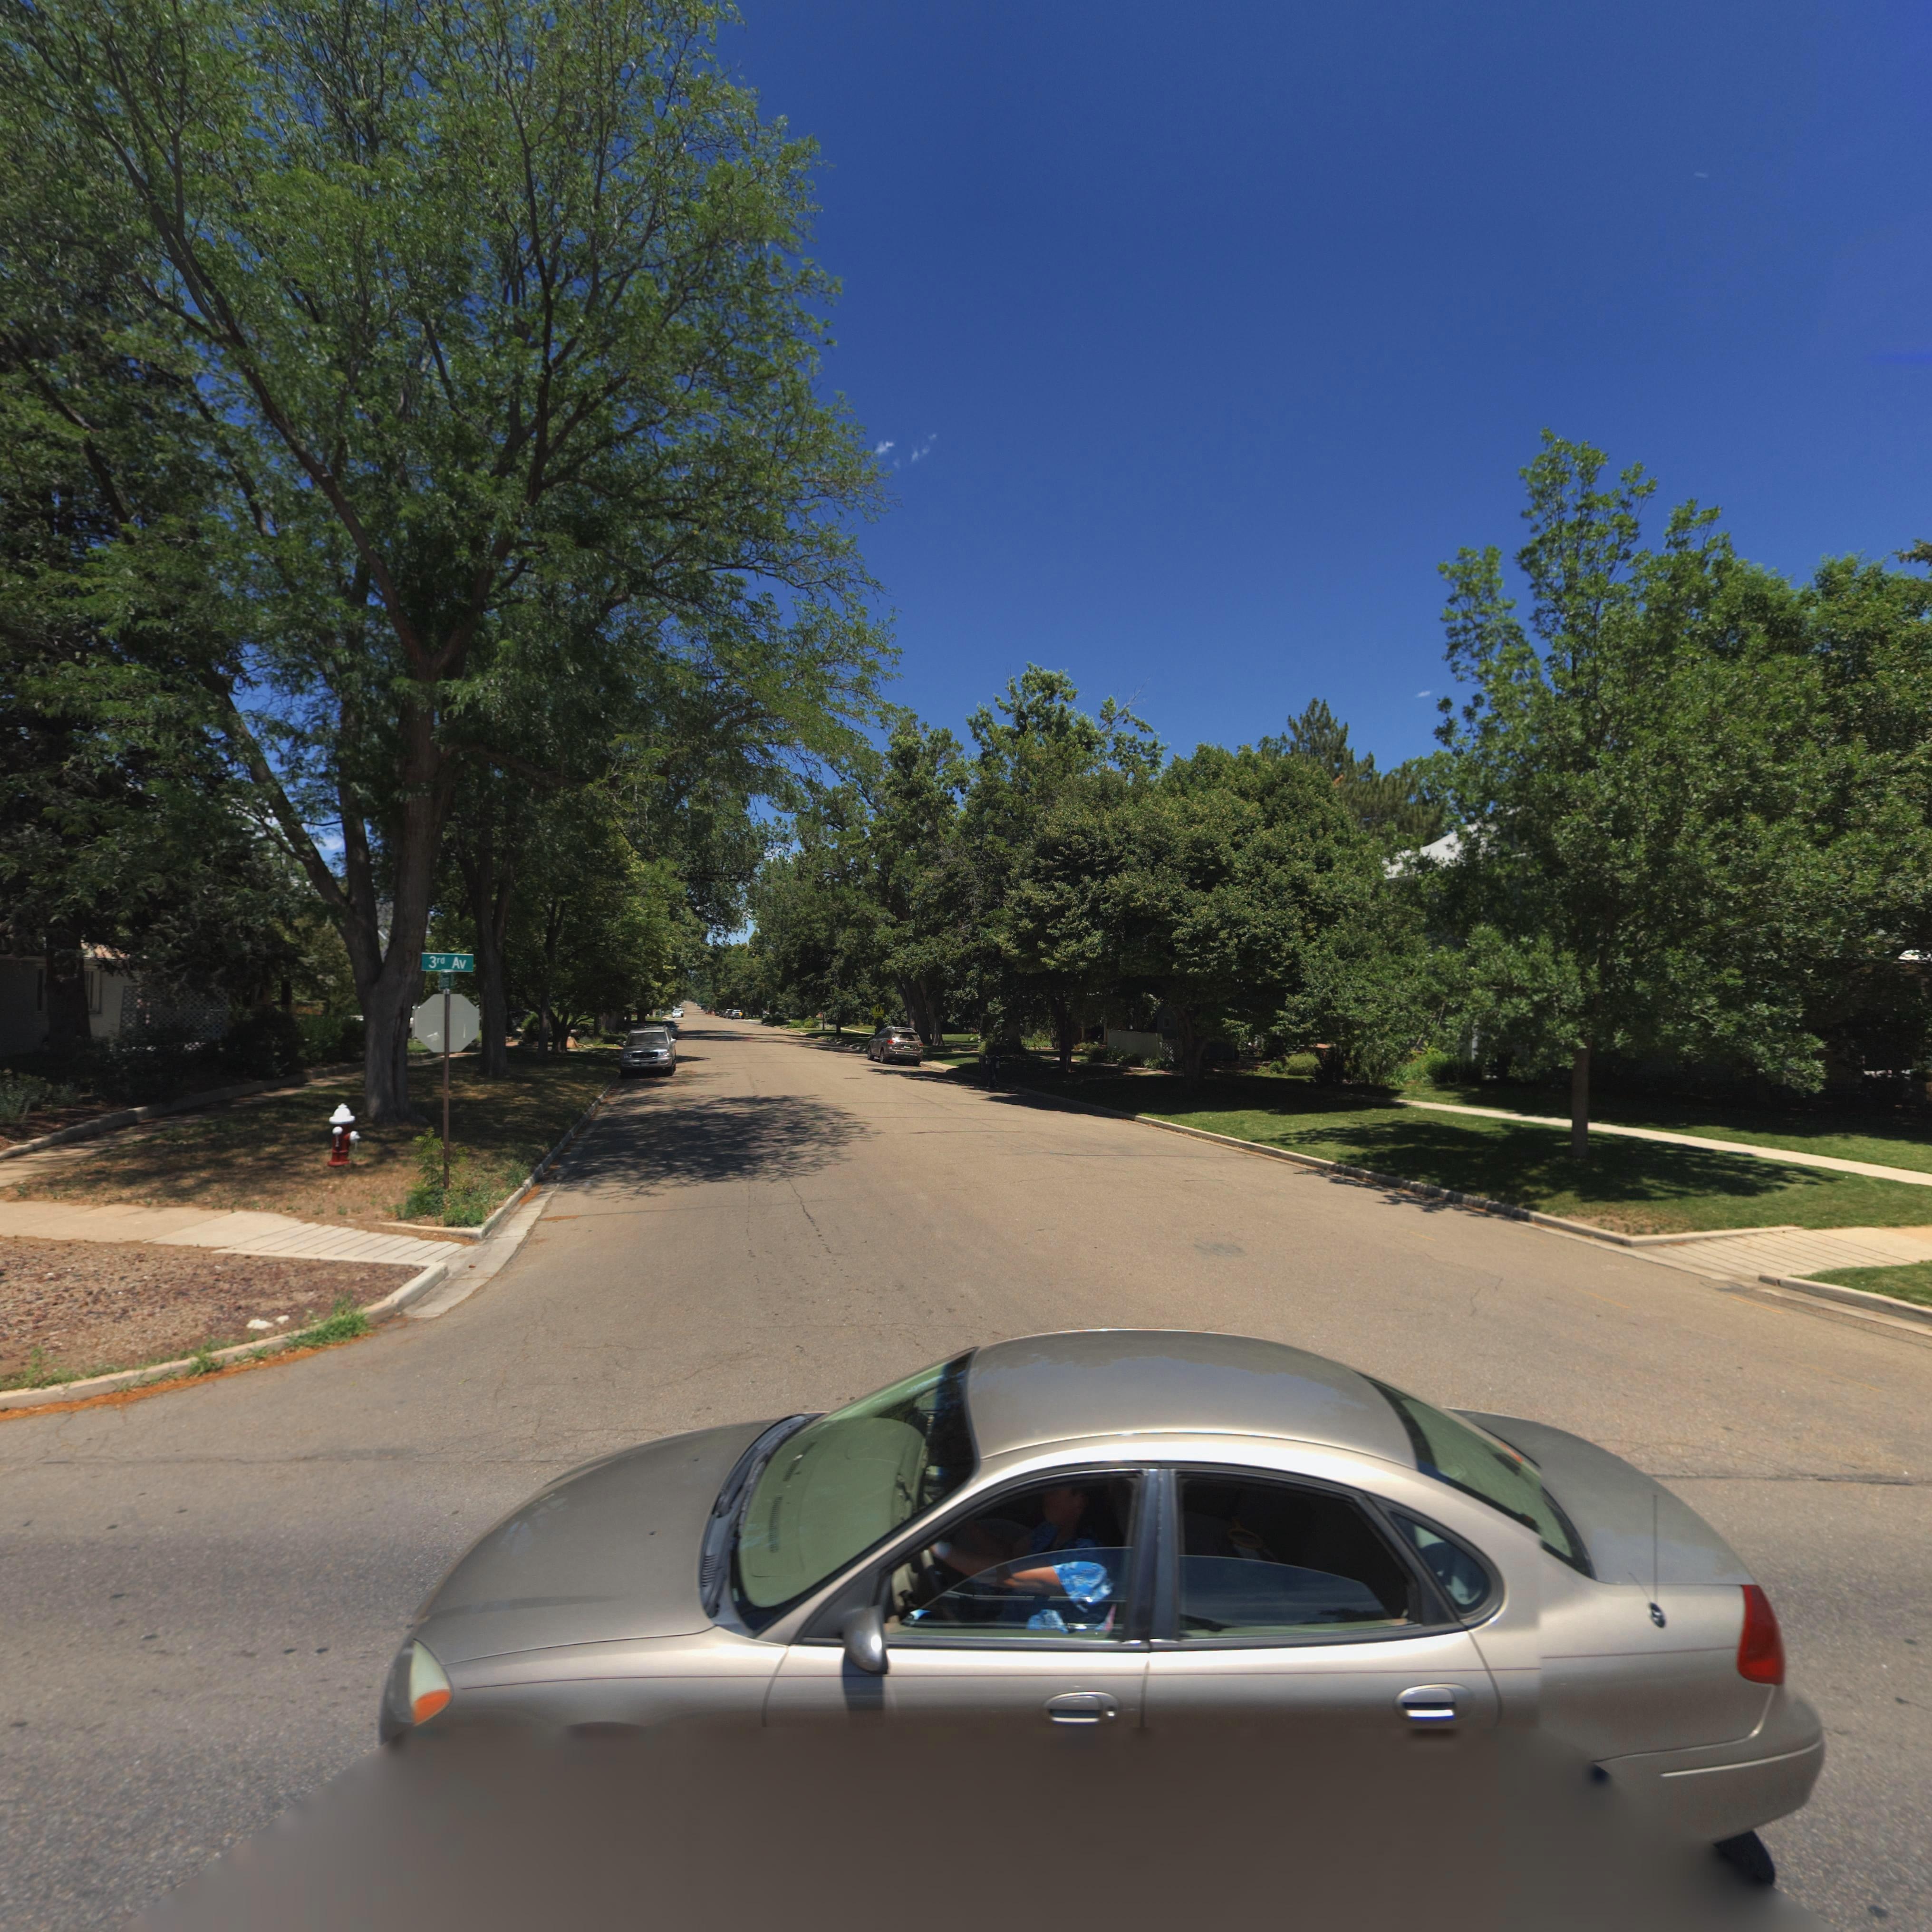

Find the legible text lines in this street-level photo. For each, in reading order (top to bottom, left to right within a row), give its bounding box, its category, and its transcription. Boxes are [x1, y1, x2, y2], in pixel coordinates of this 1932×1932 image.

[428, 955, 467, 969] StreetName: 3rd Av